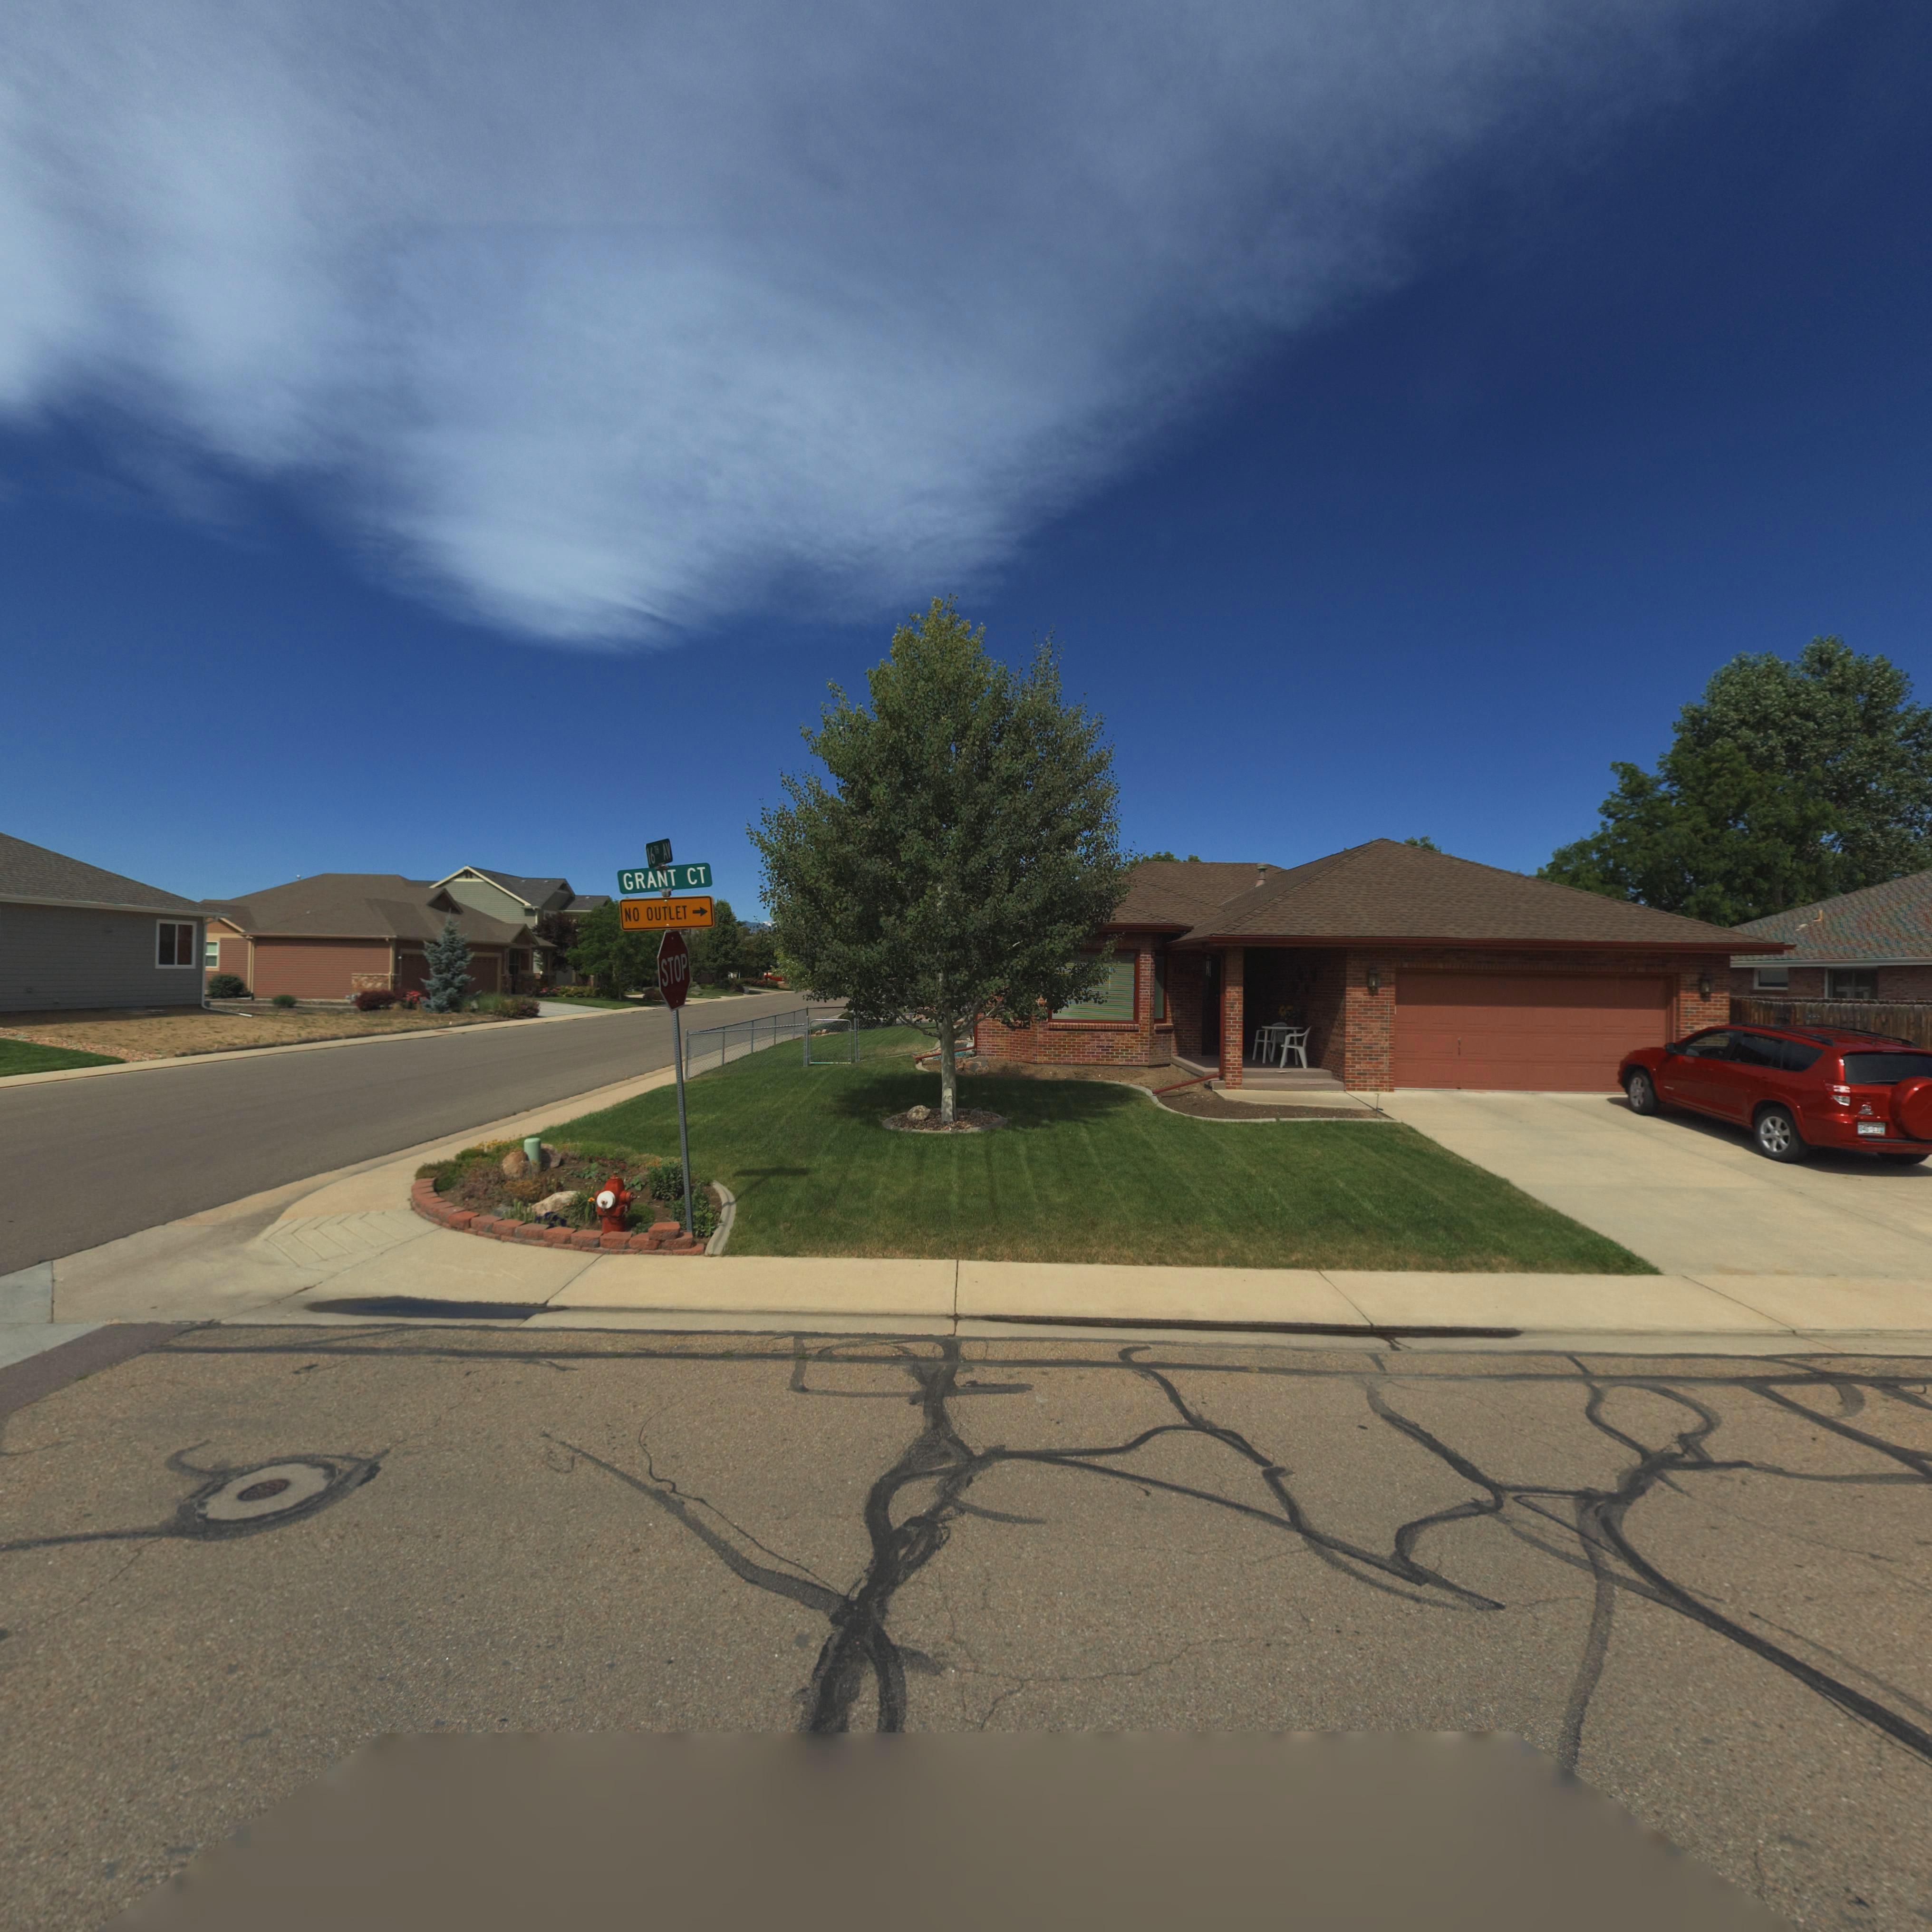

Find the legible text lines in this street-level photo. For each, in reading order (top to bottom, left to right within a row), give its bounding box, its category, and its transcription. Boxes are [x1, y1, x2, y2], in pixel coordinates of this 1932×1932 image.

[646, 841, 671, 865] StreetName: 16TH AV
[623, 866, 705, 890] StreetName: GRANT CT